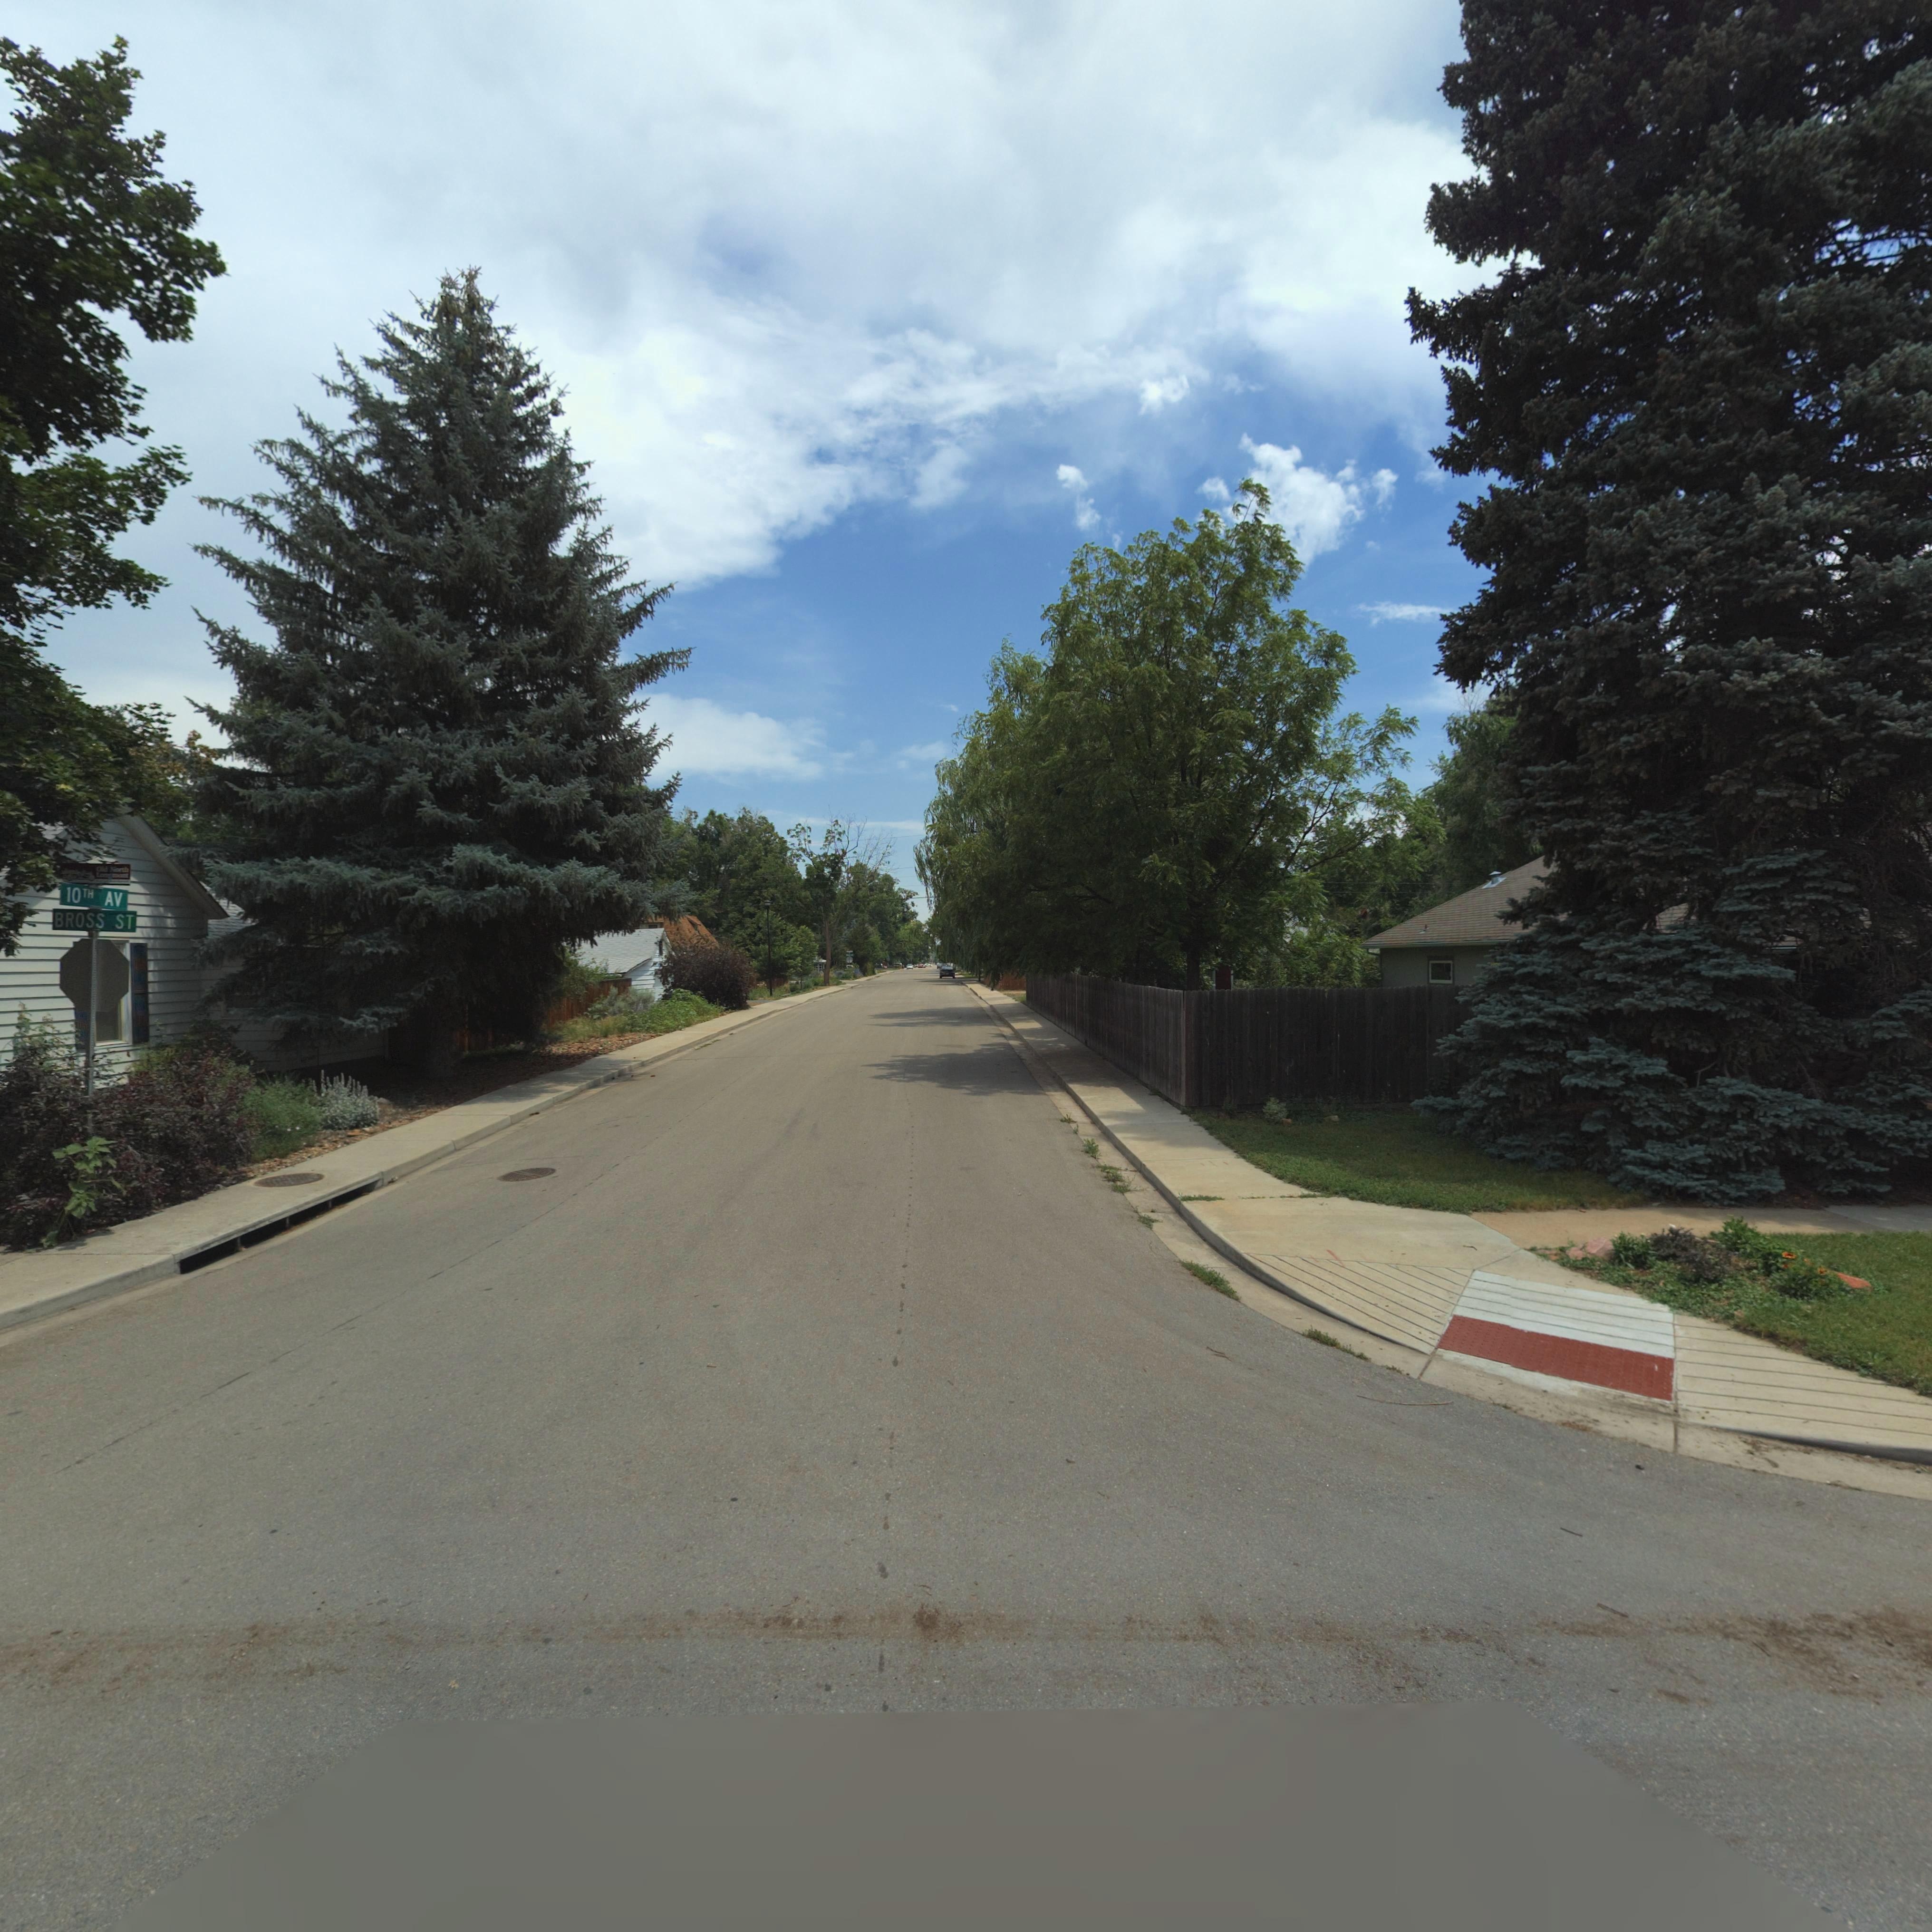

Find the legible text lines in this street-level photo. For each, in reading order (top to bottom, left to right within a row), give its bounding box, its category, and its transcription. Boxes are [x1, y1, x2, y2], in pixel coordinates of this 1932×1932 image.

[66, 886, 123, 907] StreetName: 10TH AV
[54, 911, 135, 930] StreetName: BROSS ST